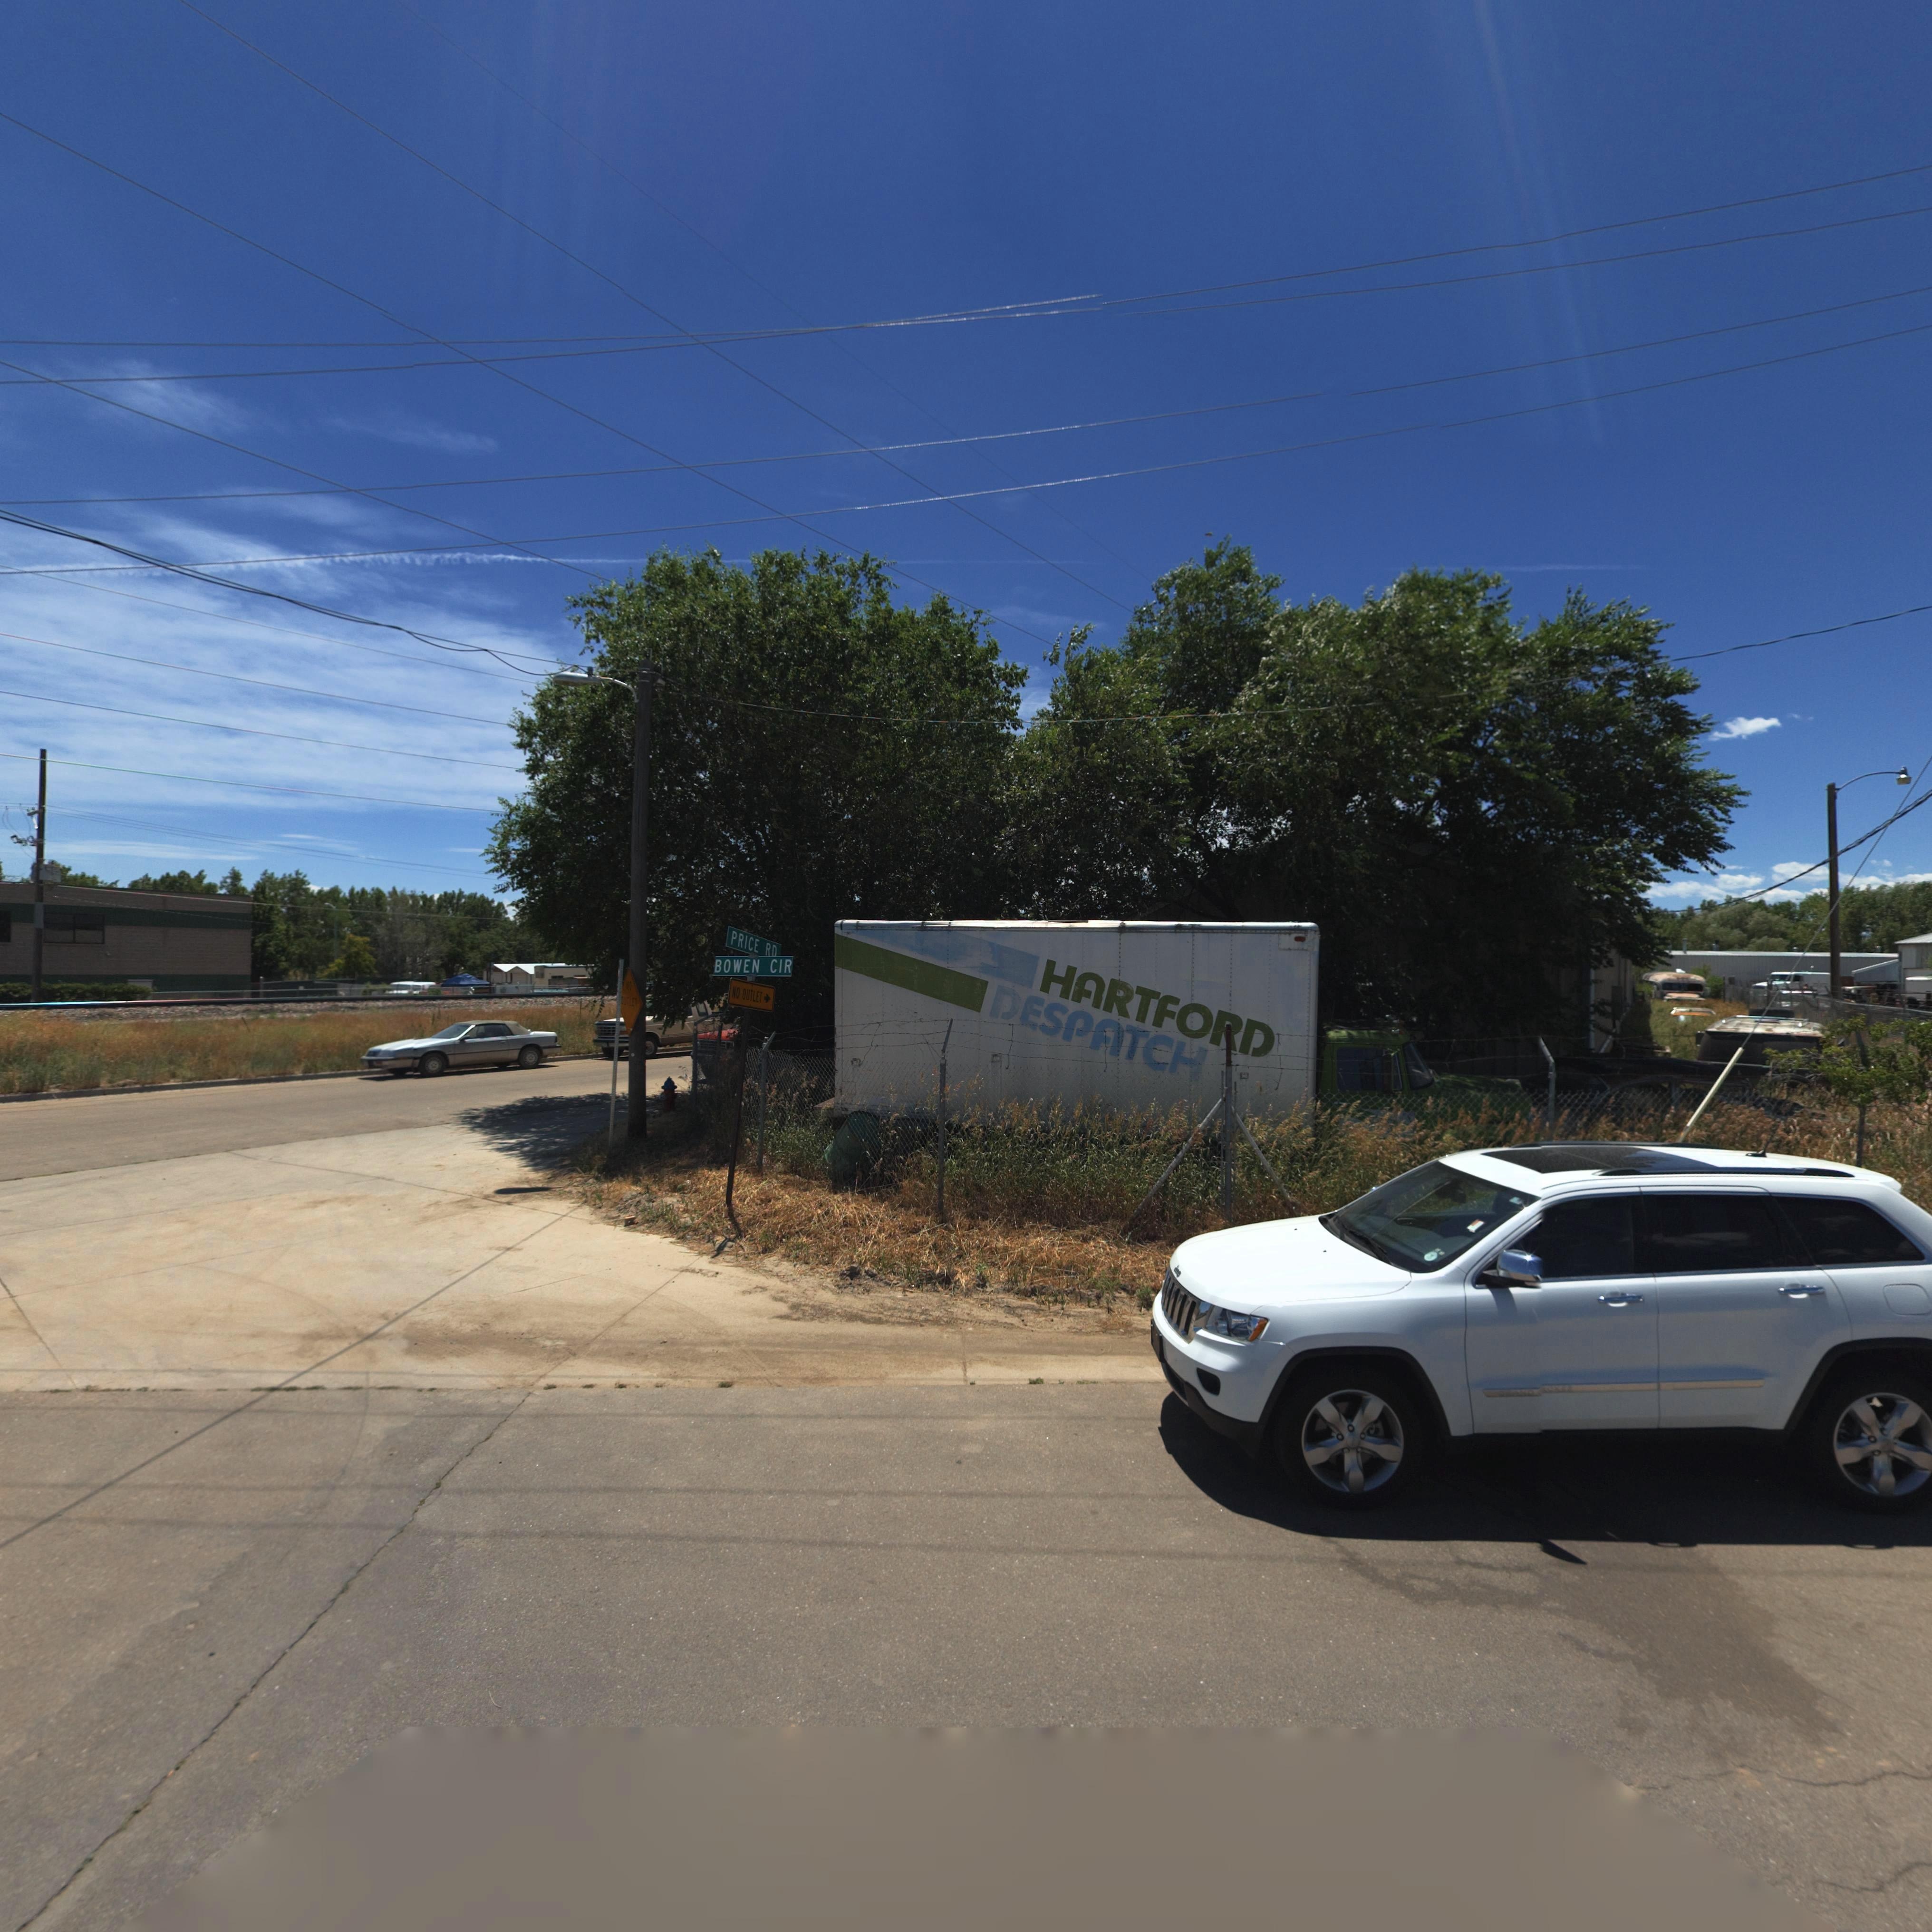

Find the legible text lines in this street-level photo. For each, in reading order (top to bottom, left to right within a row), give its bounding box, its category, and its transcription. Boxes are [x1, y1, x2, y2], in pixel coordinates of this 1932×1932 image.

[731, 930, 777, 956] StreetName: PRICE R*
[714, 959, 792, 974] StreetName: BOWEN CIR